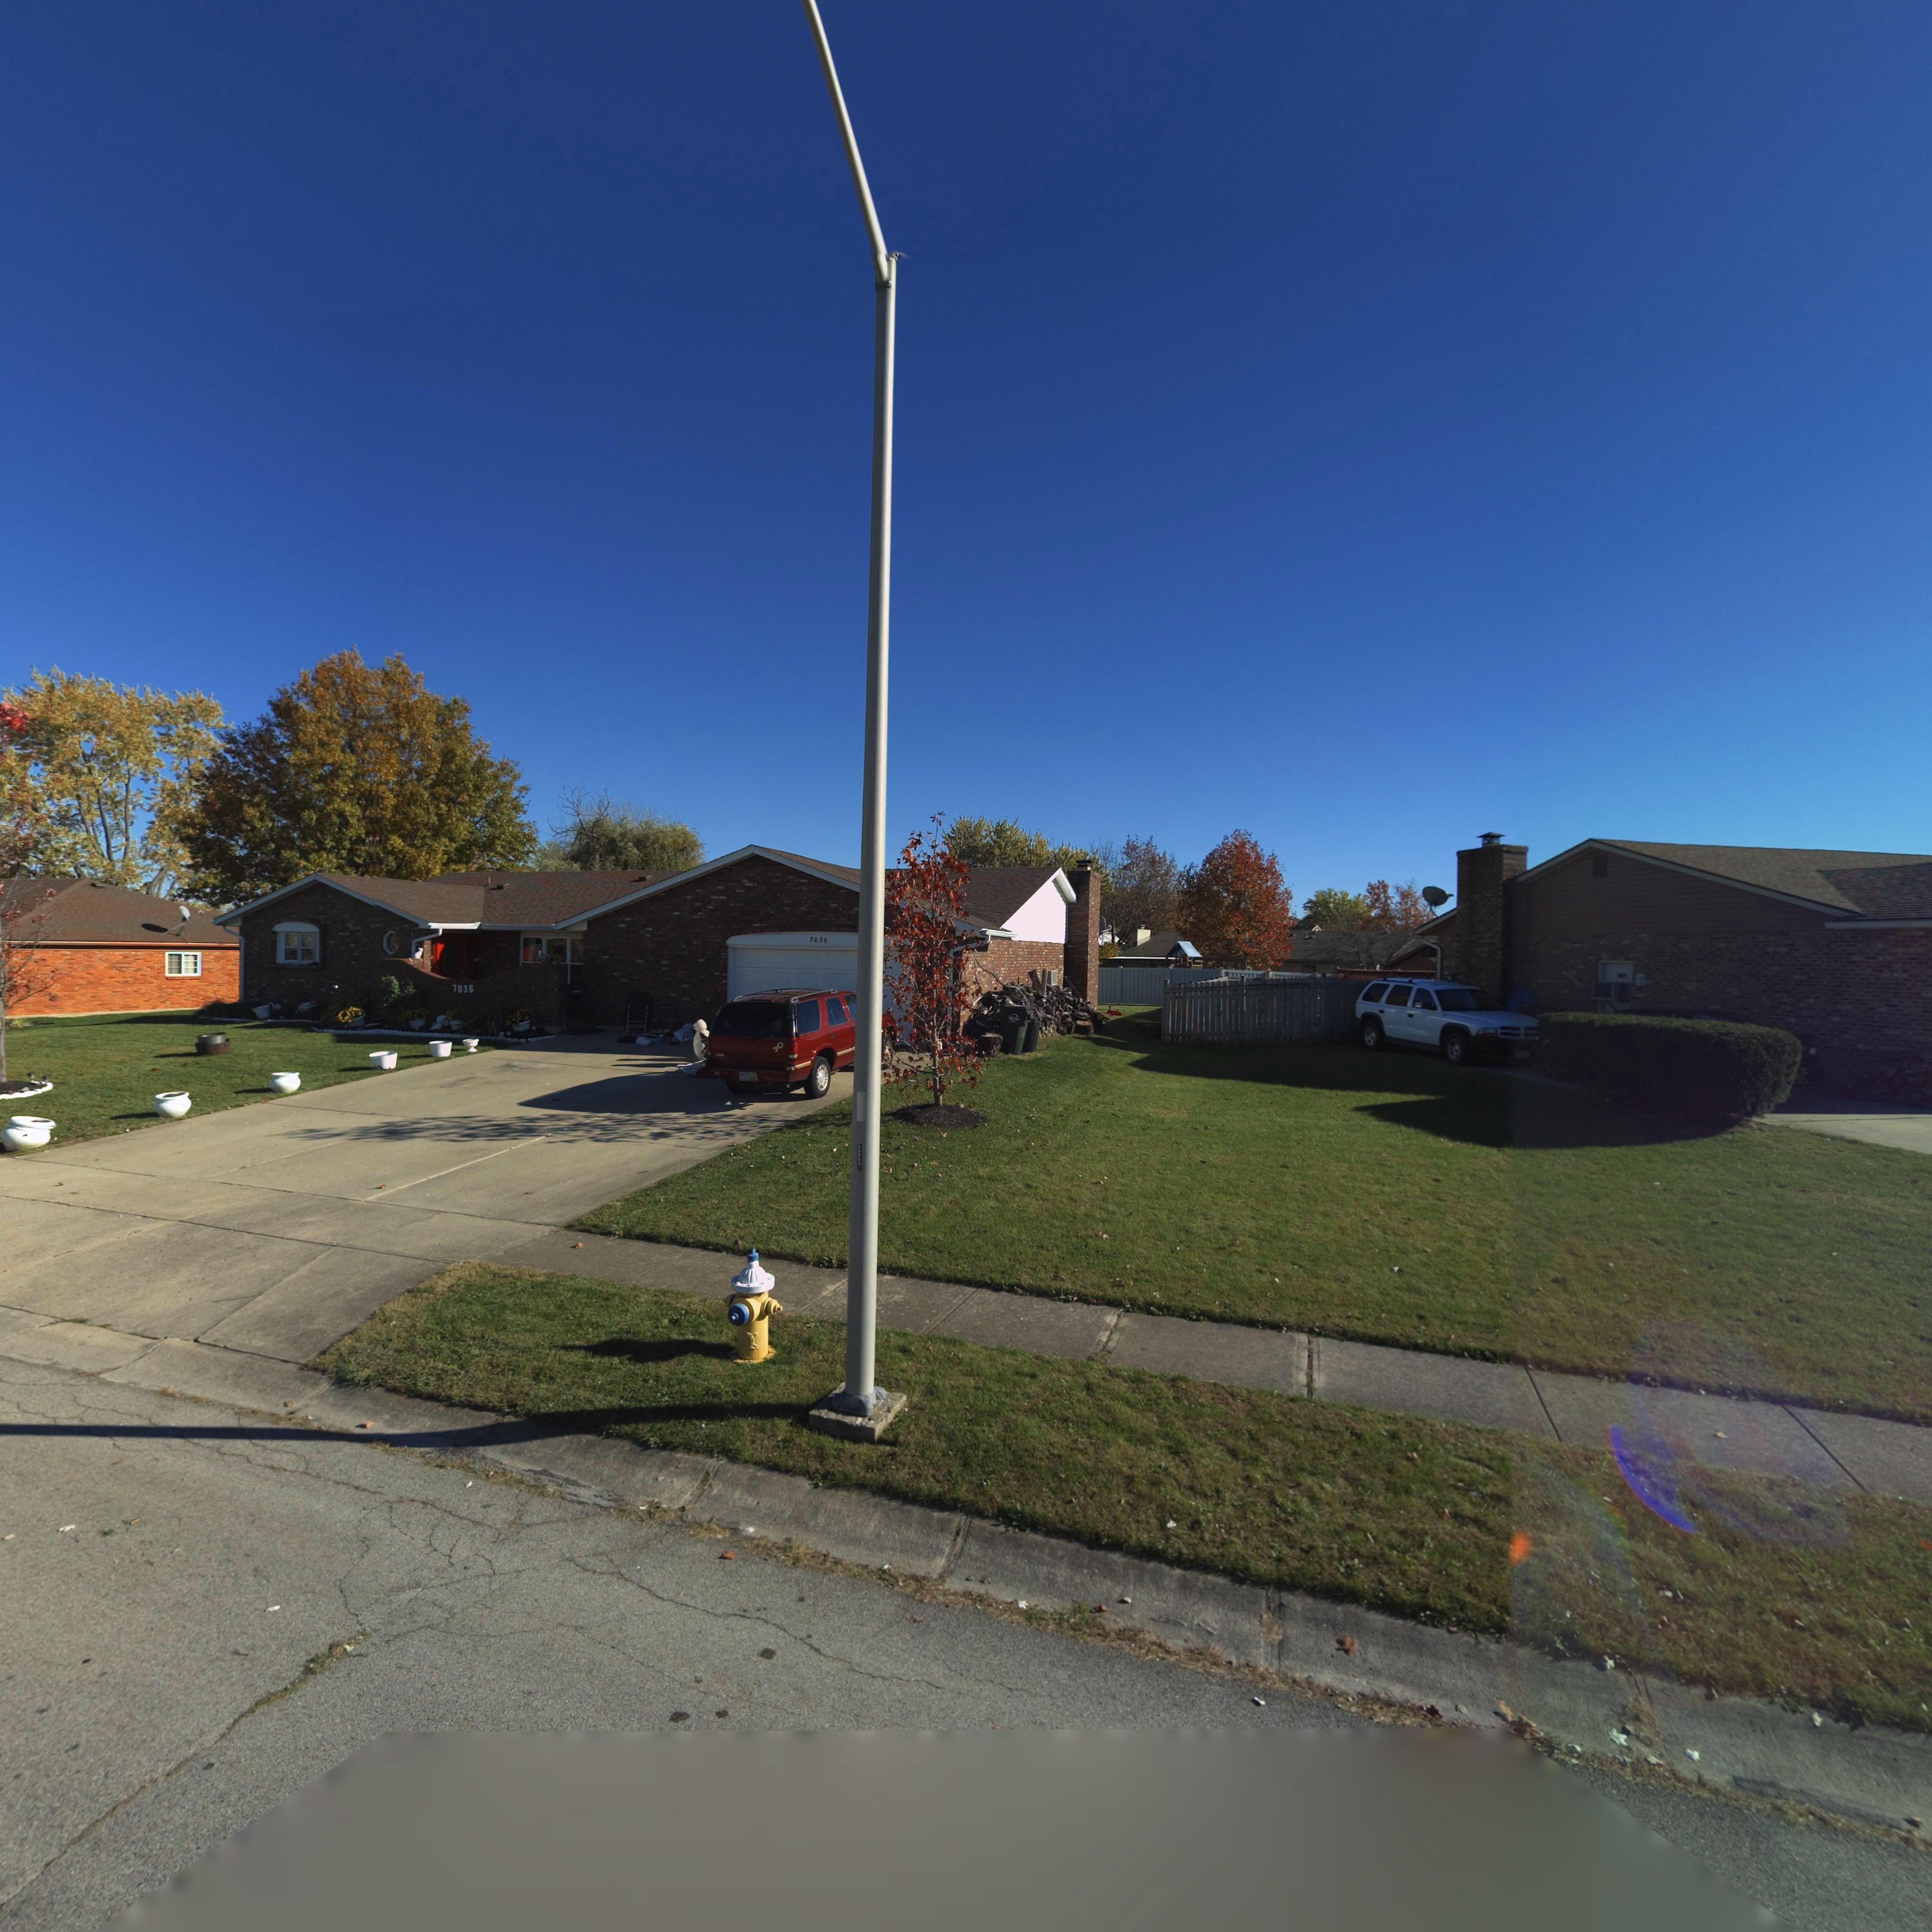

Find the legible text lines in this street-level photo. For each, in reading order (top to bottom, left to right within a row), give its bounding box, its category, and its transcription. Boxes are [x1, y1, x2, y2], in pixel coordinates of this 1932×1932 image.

[809, 937, 828, 944] StreetNumber: 7036
[452, 984, 474, 993] StreetNumber: 7036